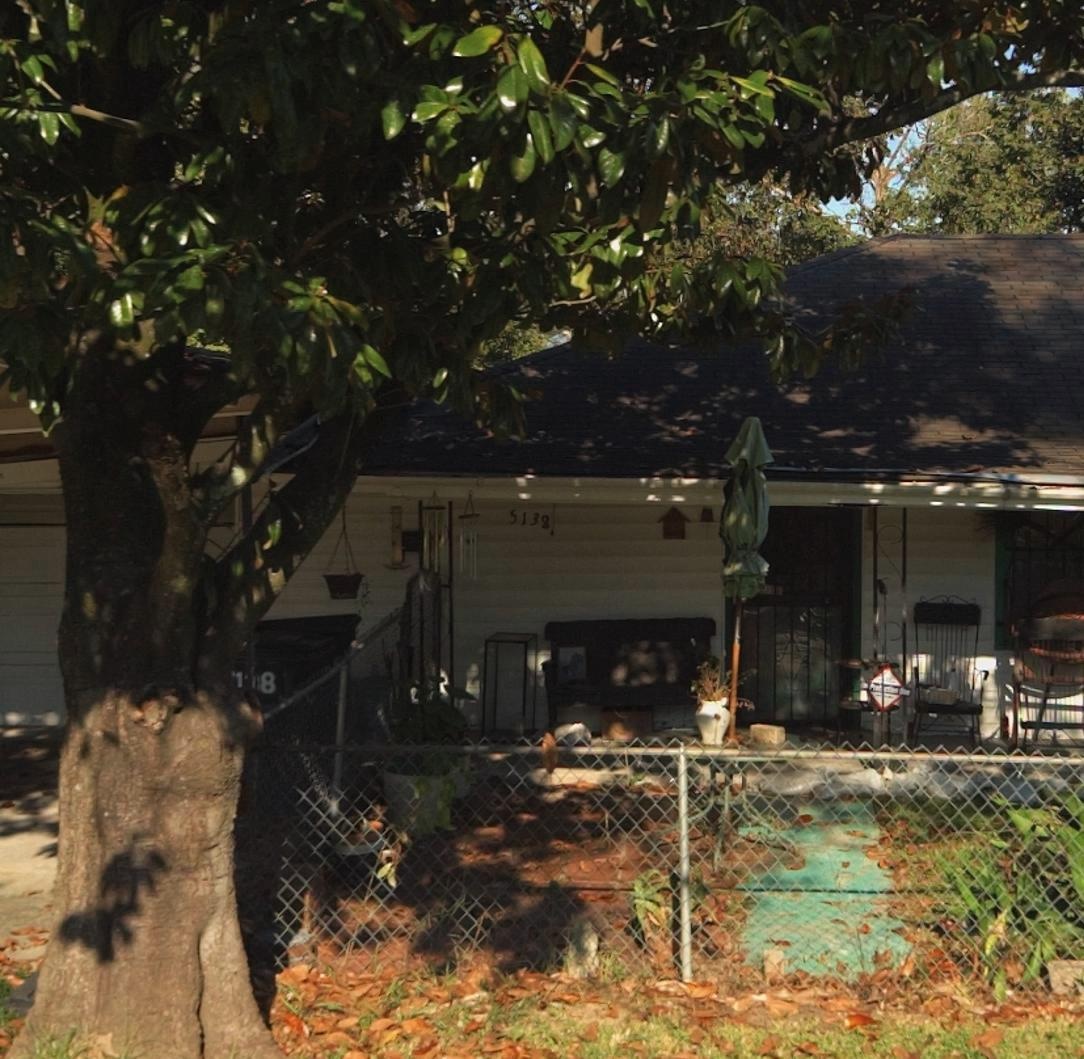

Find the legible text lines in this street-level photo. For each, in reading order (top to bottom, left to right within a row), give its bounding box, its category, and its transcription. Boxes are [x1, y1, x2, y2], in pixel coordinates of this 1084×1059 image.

[509, 509, 550, 529] StreetNumber: 5138
[259, 669, 277, 695] None: 8